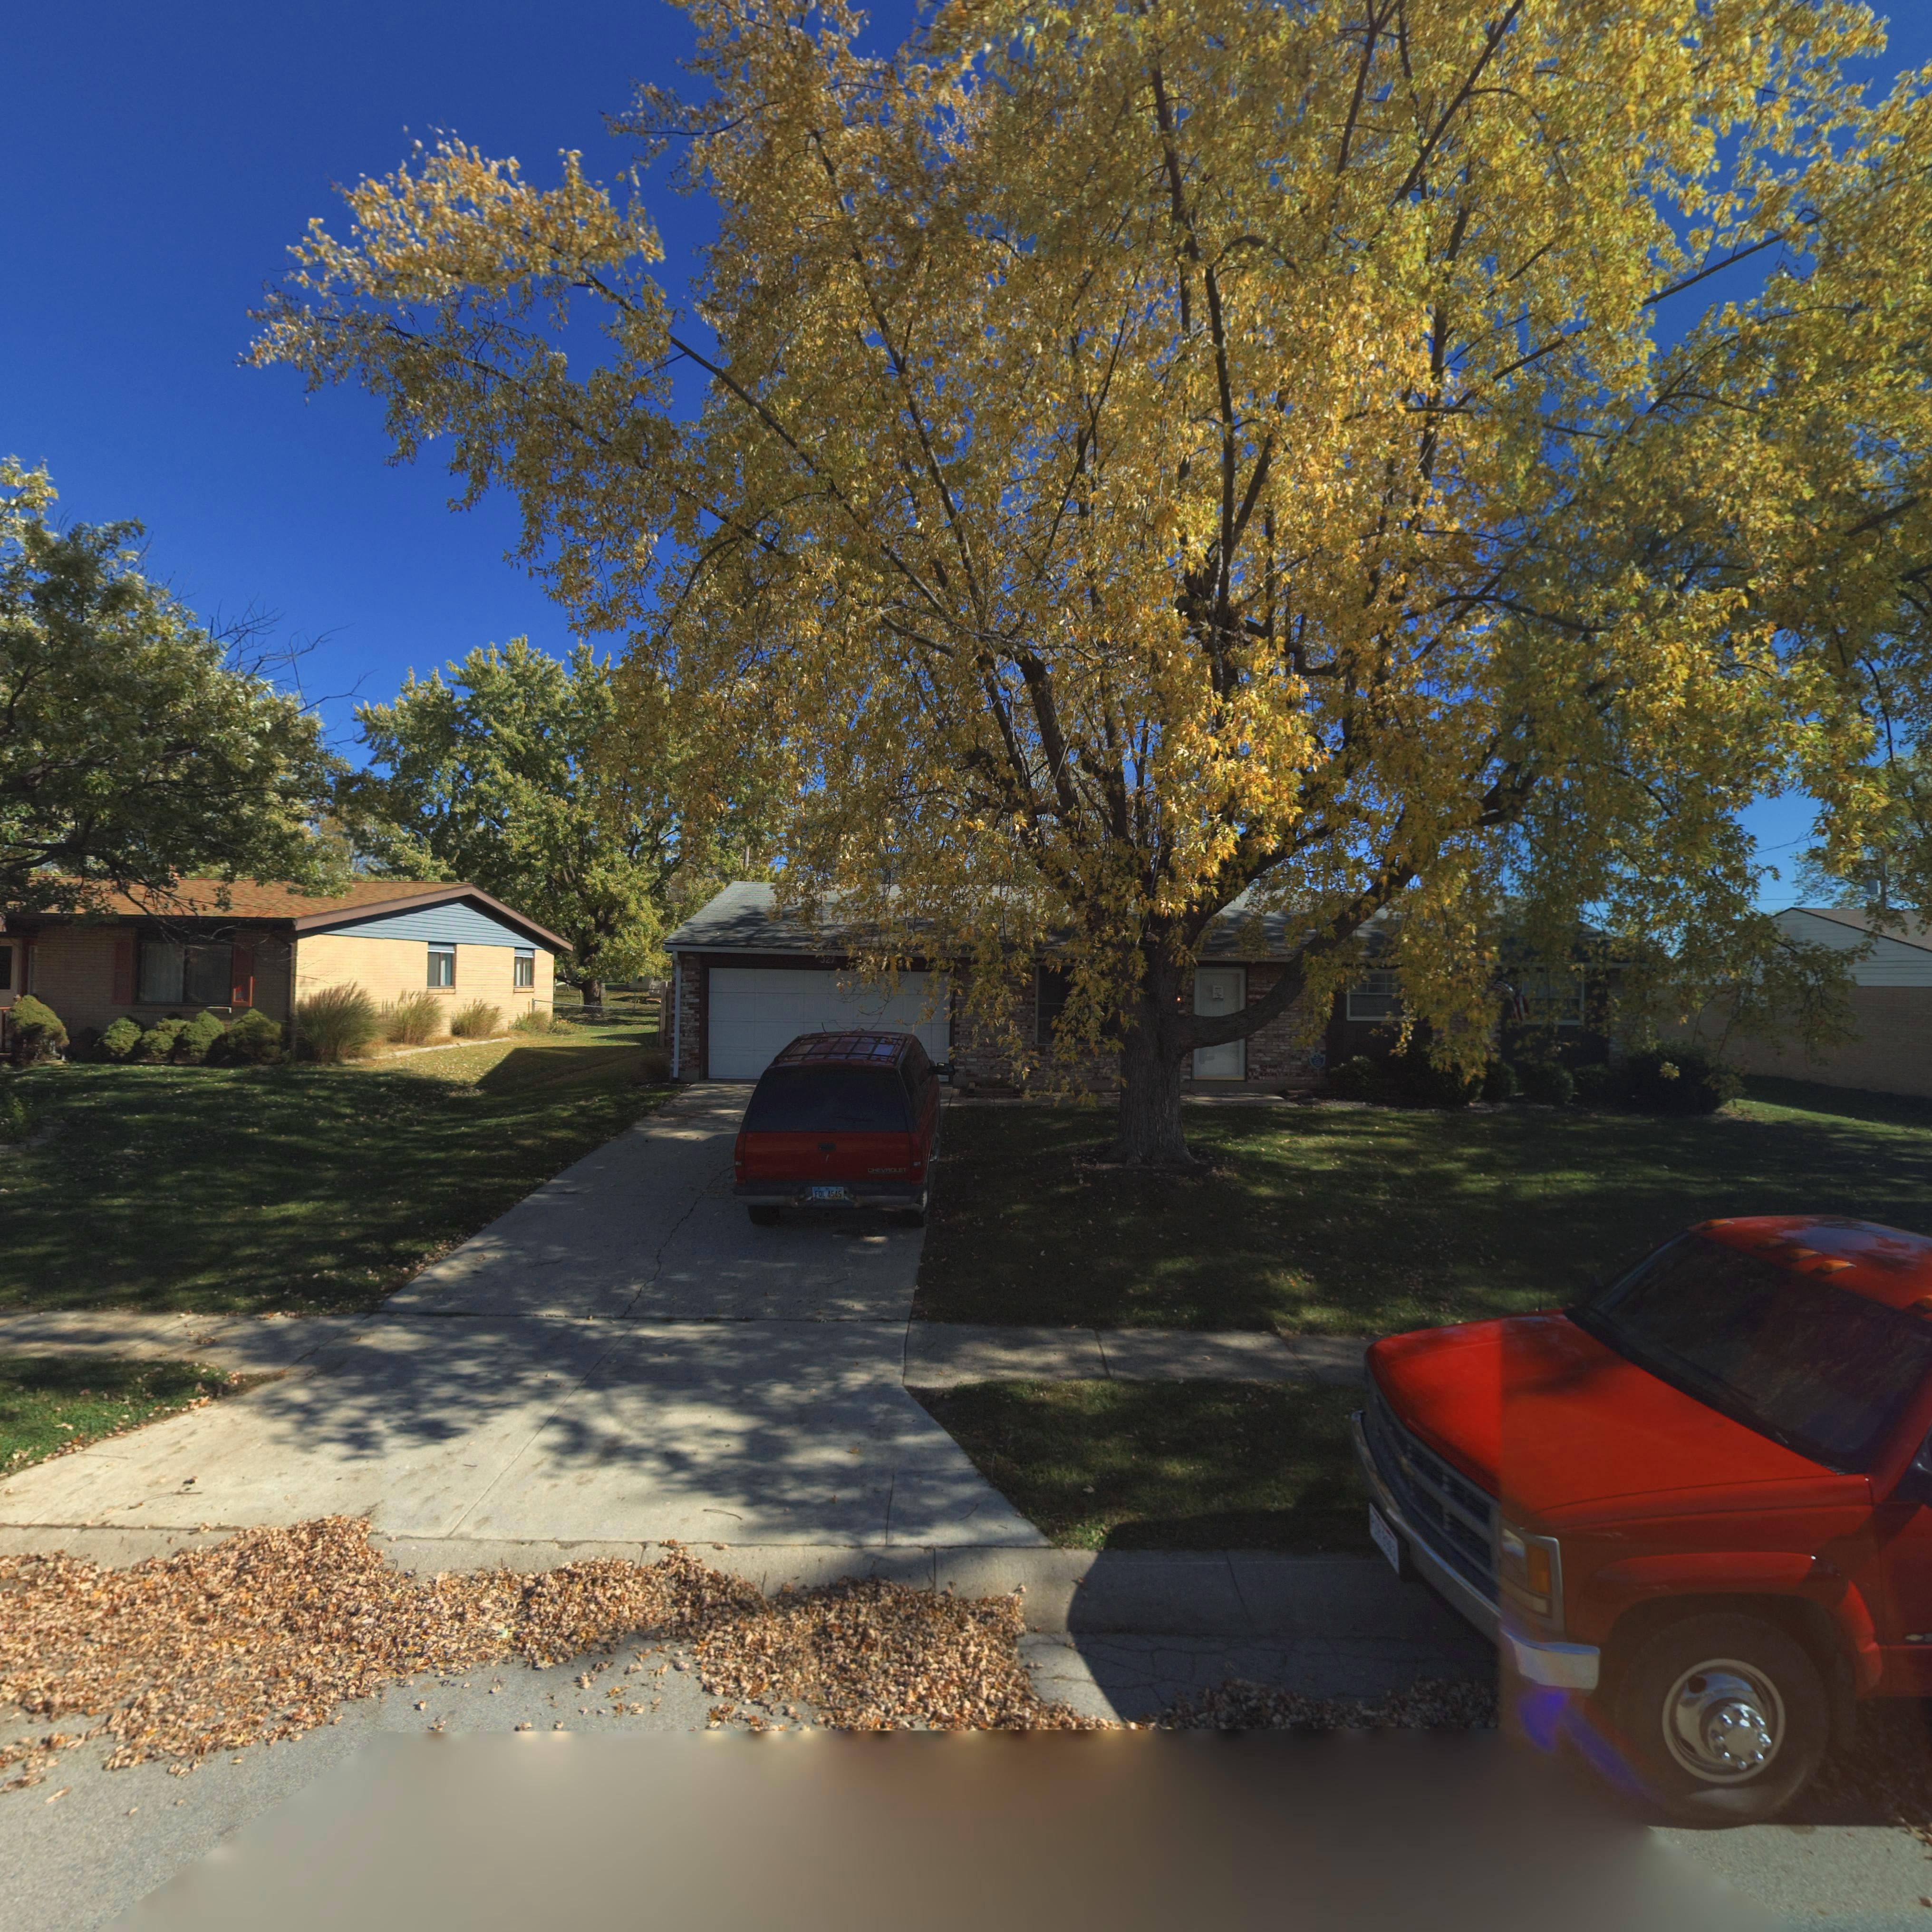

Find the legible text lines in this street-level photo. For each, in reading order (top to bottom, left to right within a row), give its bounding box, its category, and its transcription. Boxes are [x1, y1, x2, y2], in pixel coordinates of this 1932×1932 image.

[820, 956, 836, 964] StreetNumber: 327